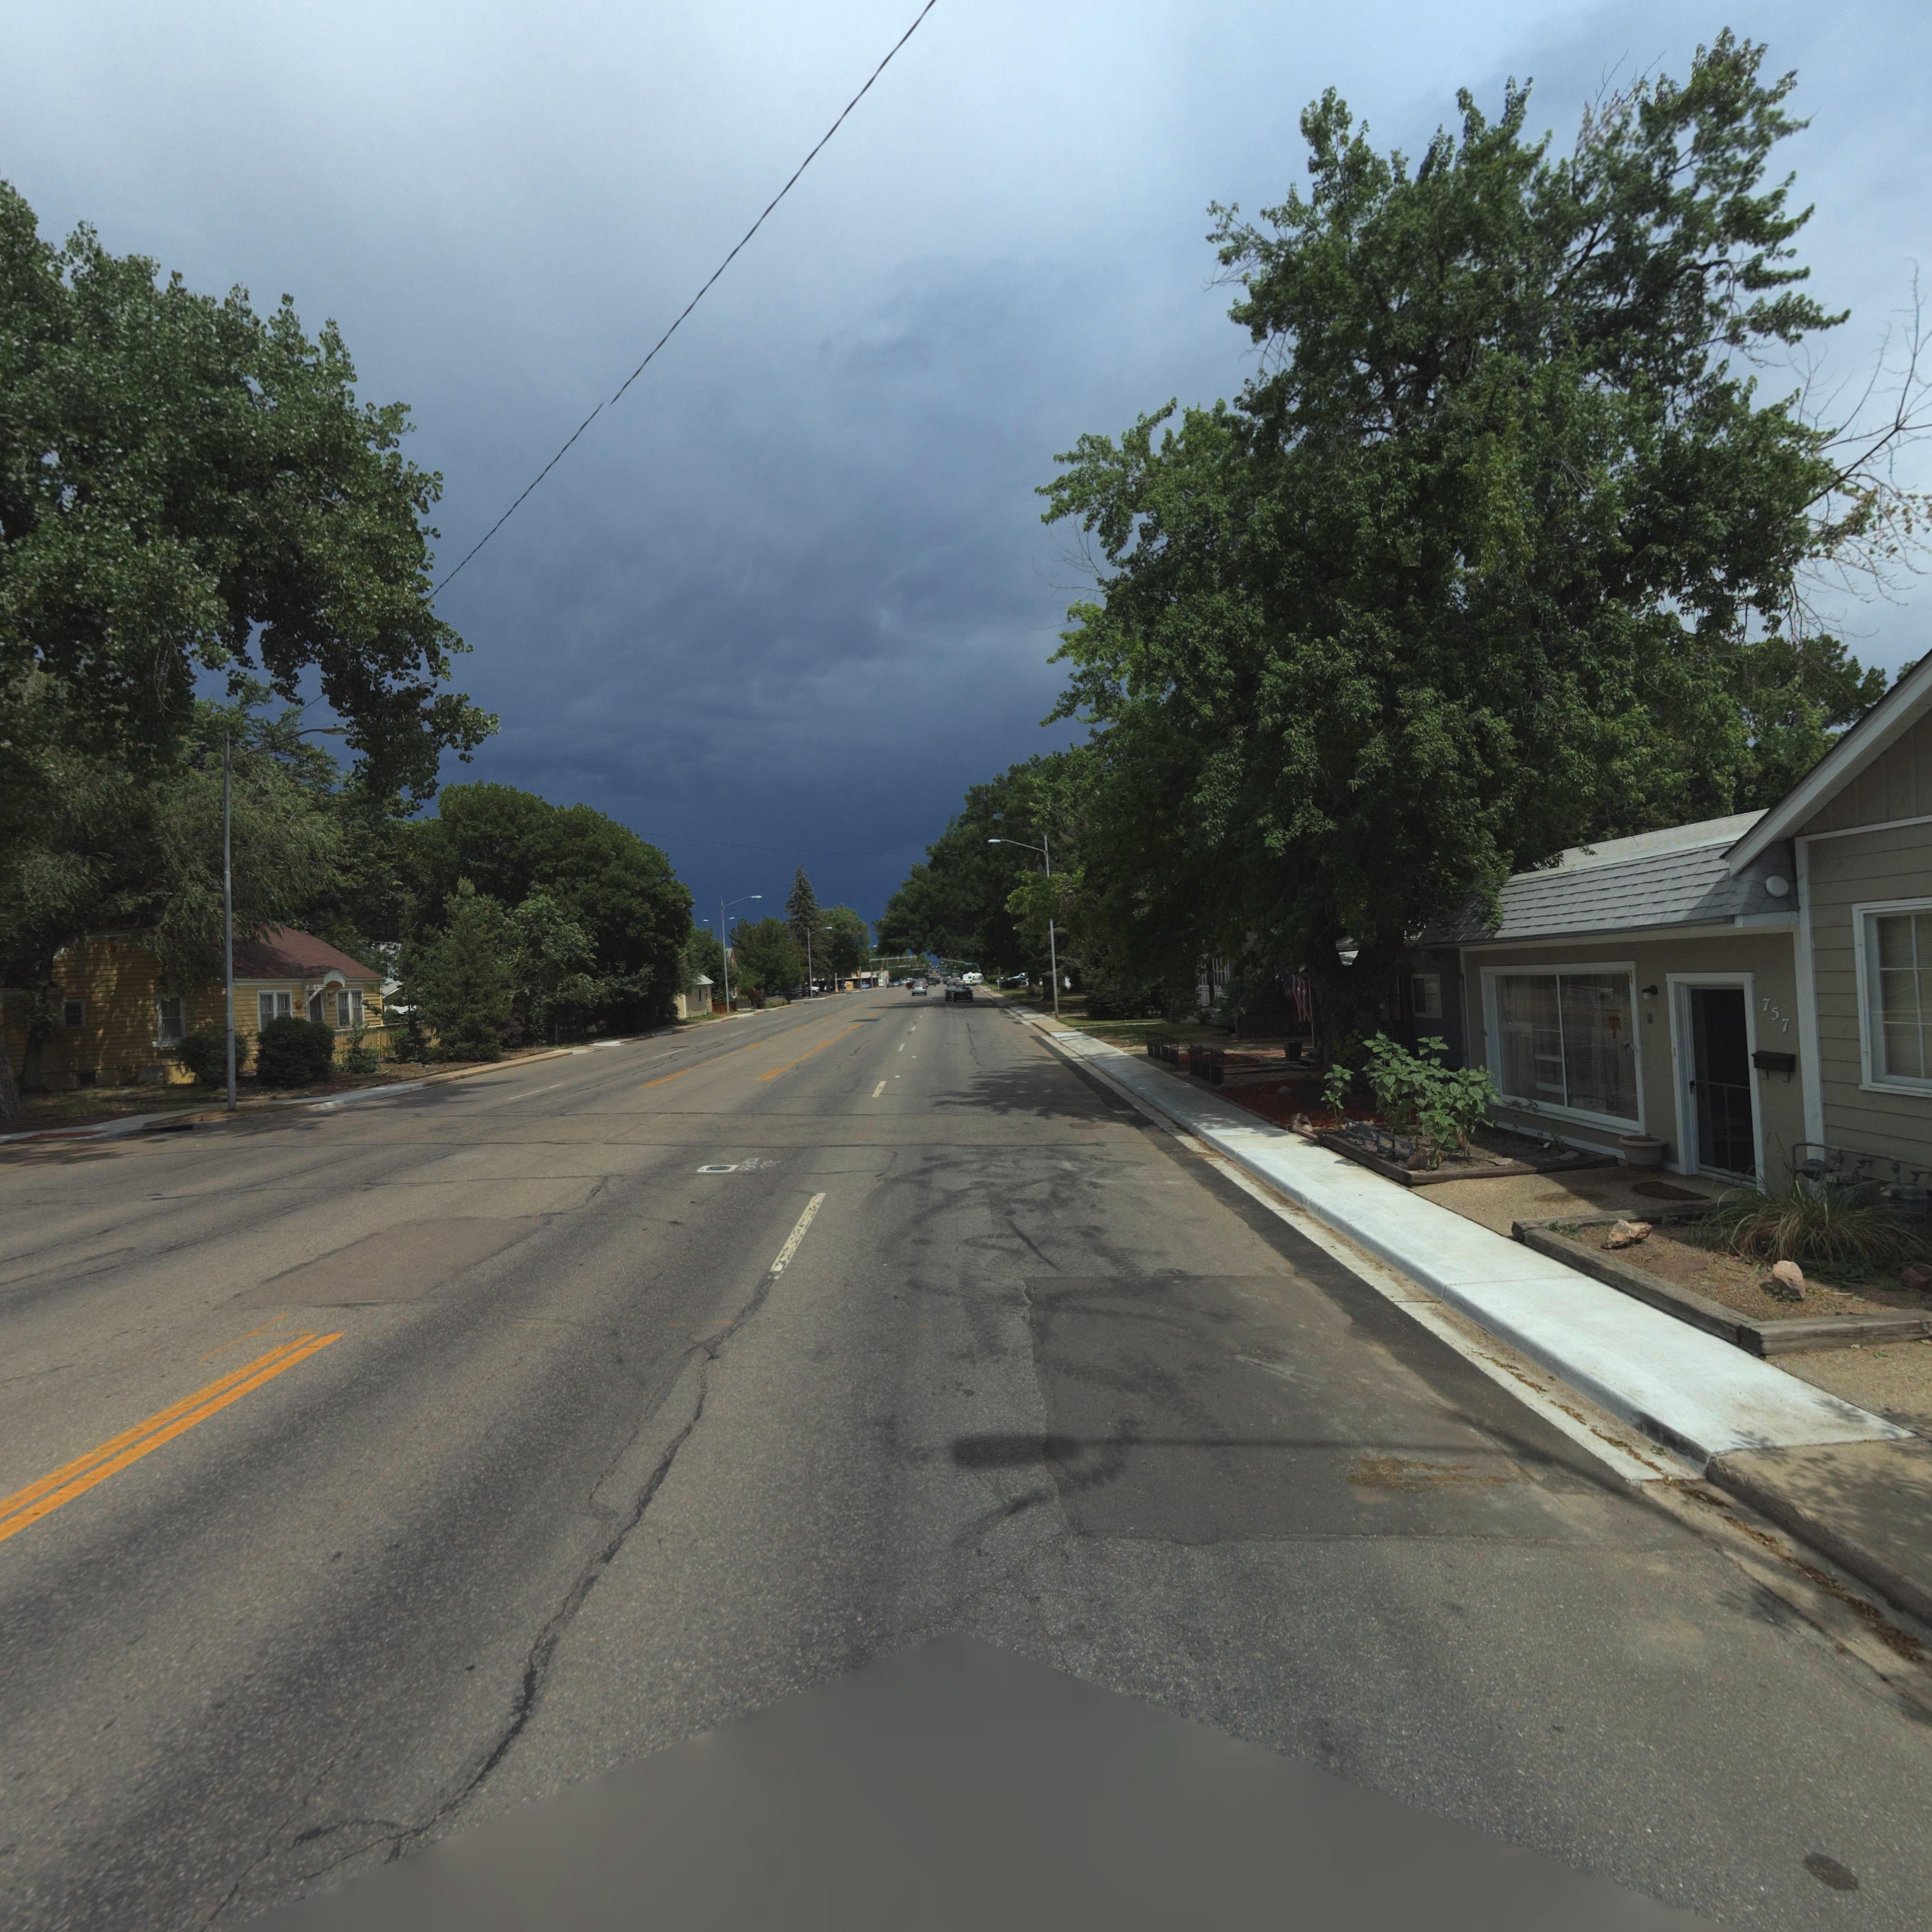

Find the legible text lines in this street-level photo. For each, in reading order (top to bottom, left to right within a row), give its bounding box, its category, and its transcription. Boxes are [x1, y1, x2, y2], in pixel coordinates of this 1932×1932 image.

[1762, 998, 1789, 1032] StreetNumber: 757